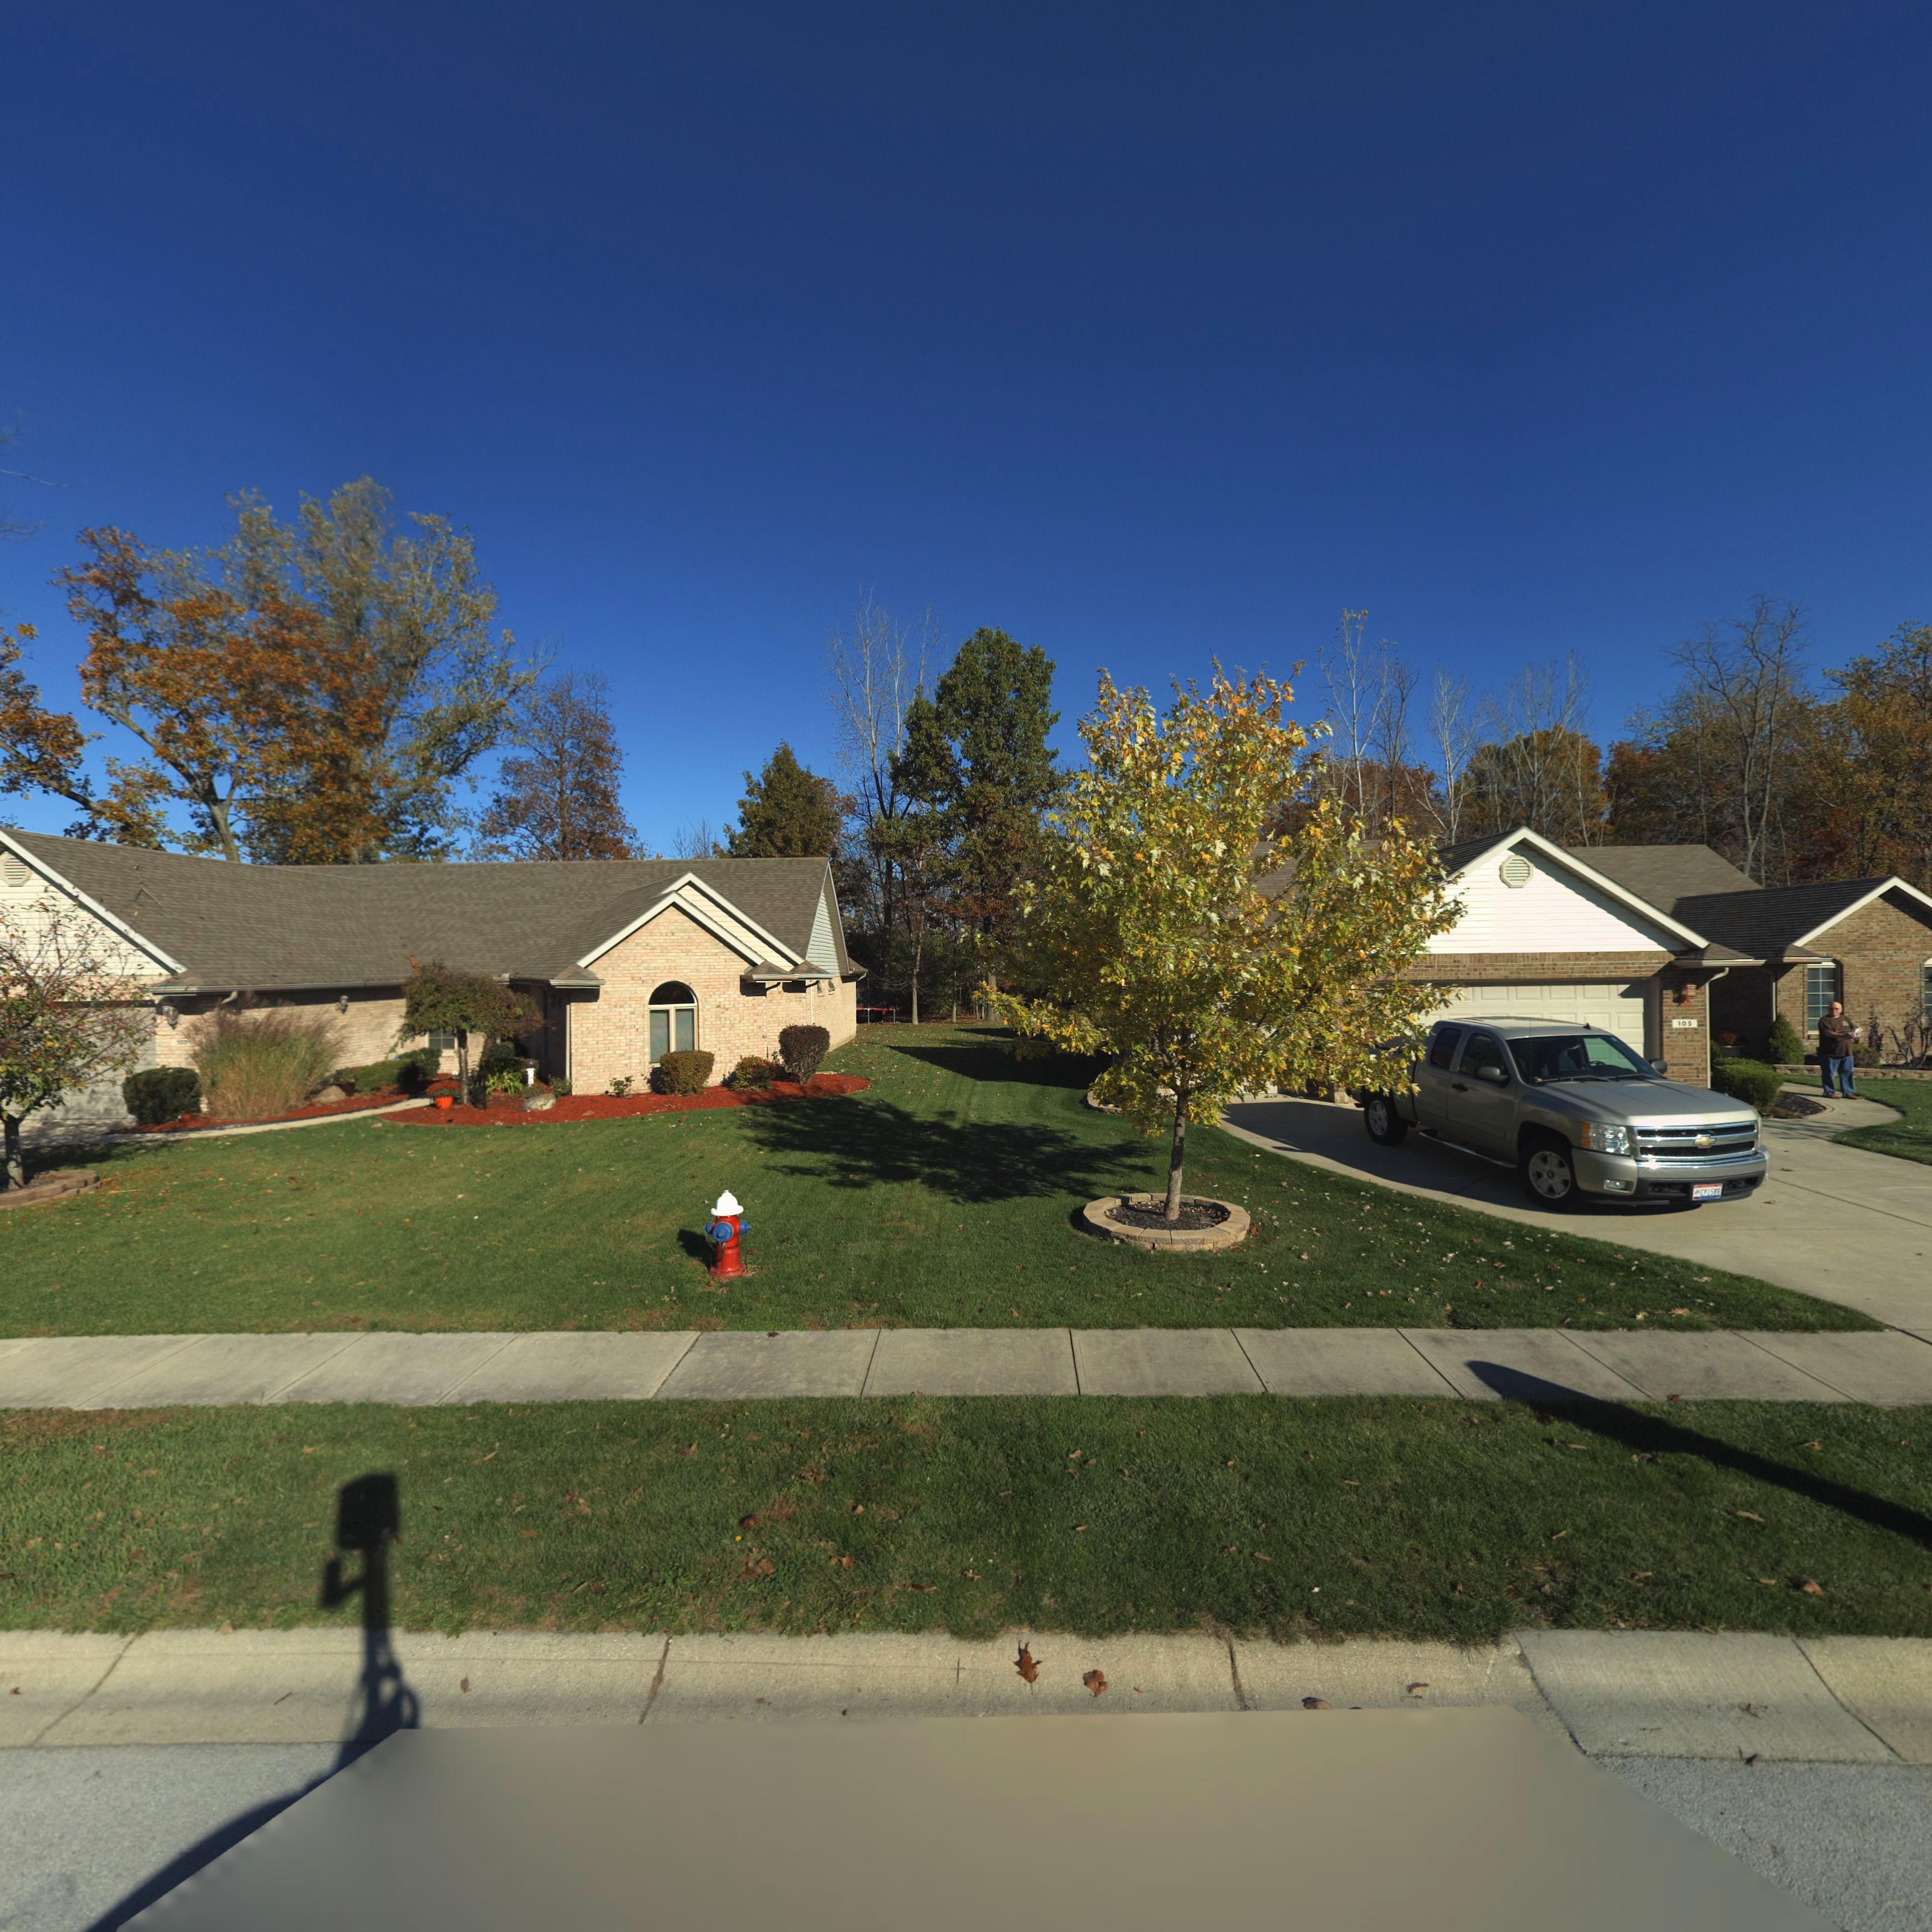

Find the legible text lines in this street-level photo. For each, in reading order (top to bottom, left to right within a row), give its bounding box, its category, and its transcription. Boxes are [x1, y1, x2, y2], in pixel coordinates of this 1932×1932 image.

[1677, 1019, 1693, 1027] StreetNumber: 105